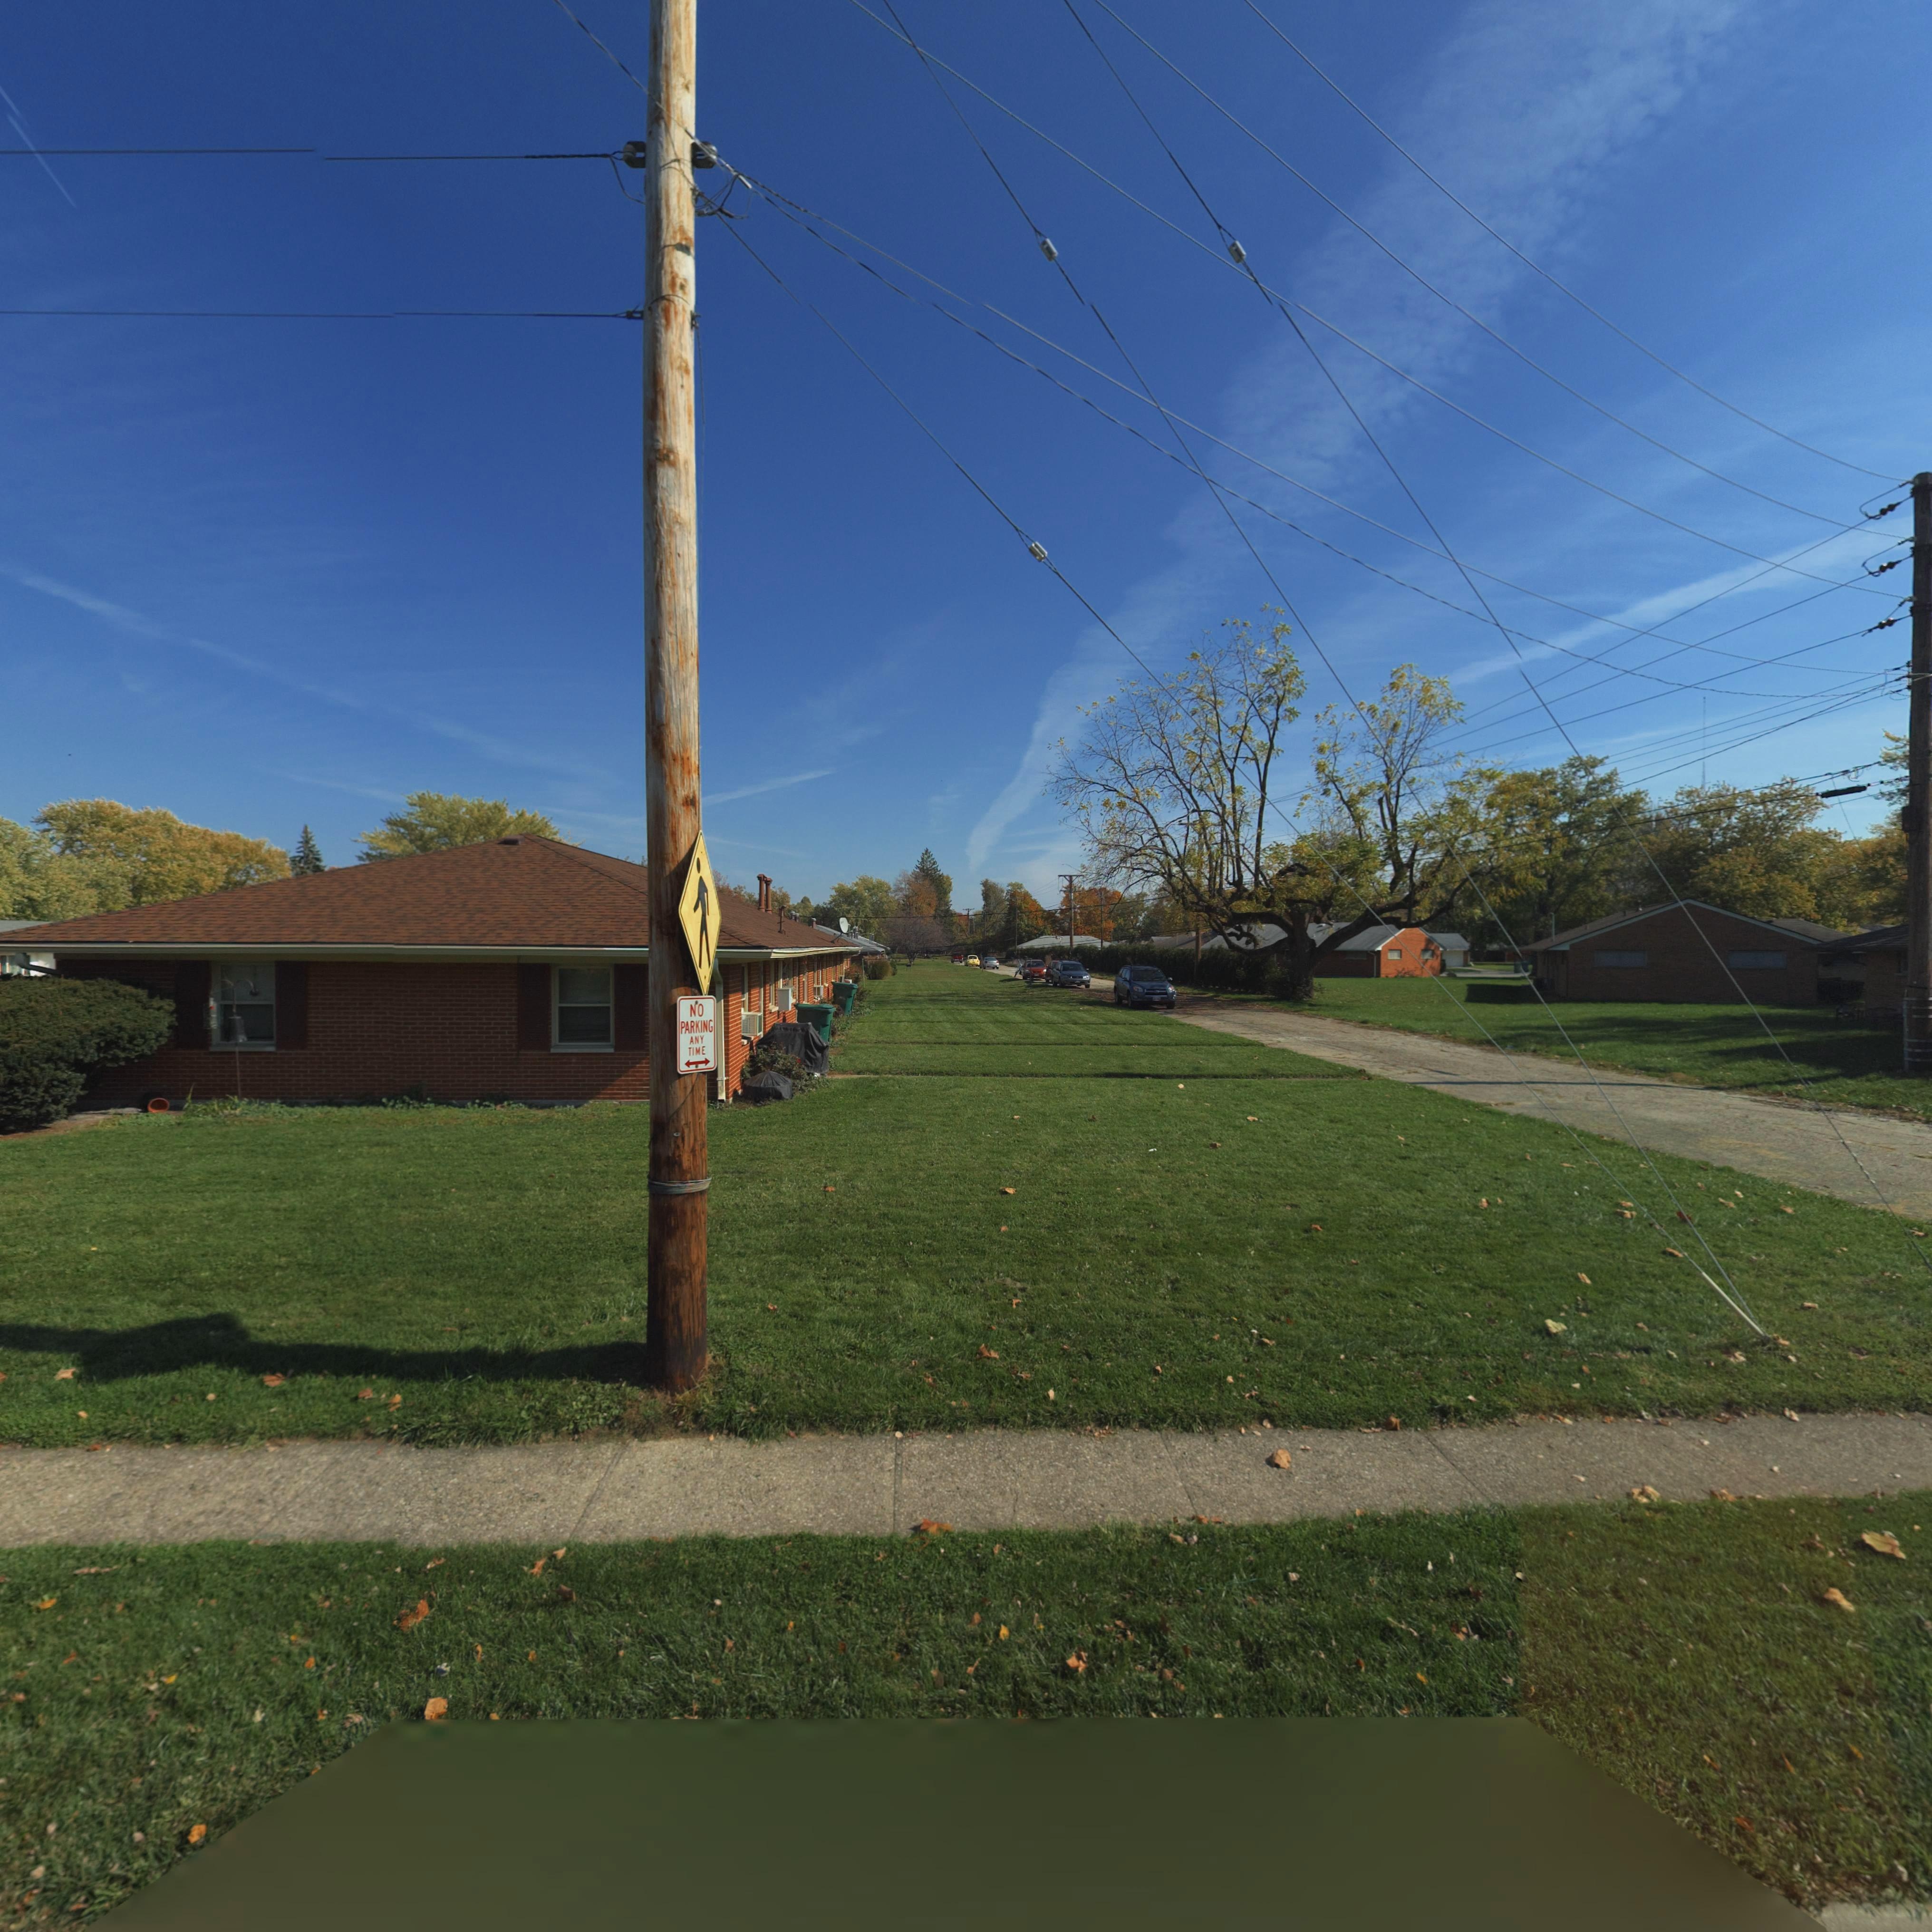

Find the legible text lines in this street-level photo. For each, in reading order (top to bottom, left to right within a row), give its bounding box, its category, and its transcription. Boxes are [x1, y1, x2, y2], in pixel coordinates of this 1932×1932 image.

[689, 1004, 704, 1018] None: NO
[680, 1019, 714, 1035] None: PARKING
[689, 1034, 705, 1045] None: ANY
[687, 1045, 706, 1056] None: TIME